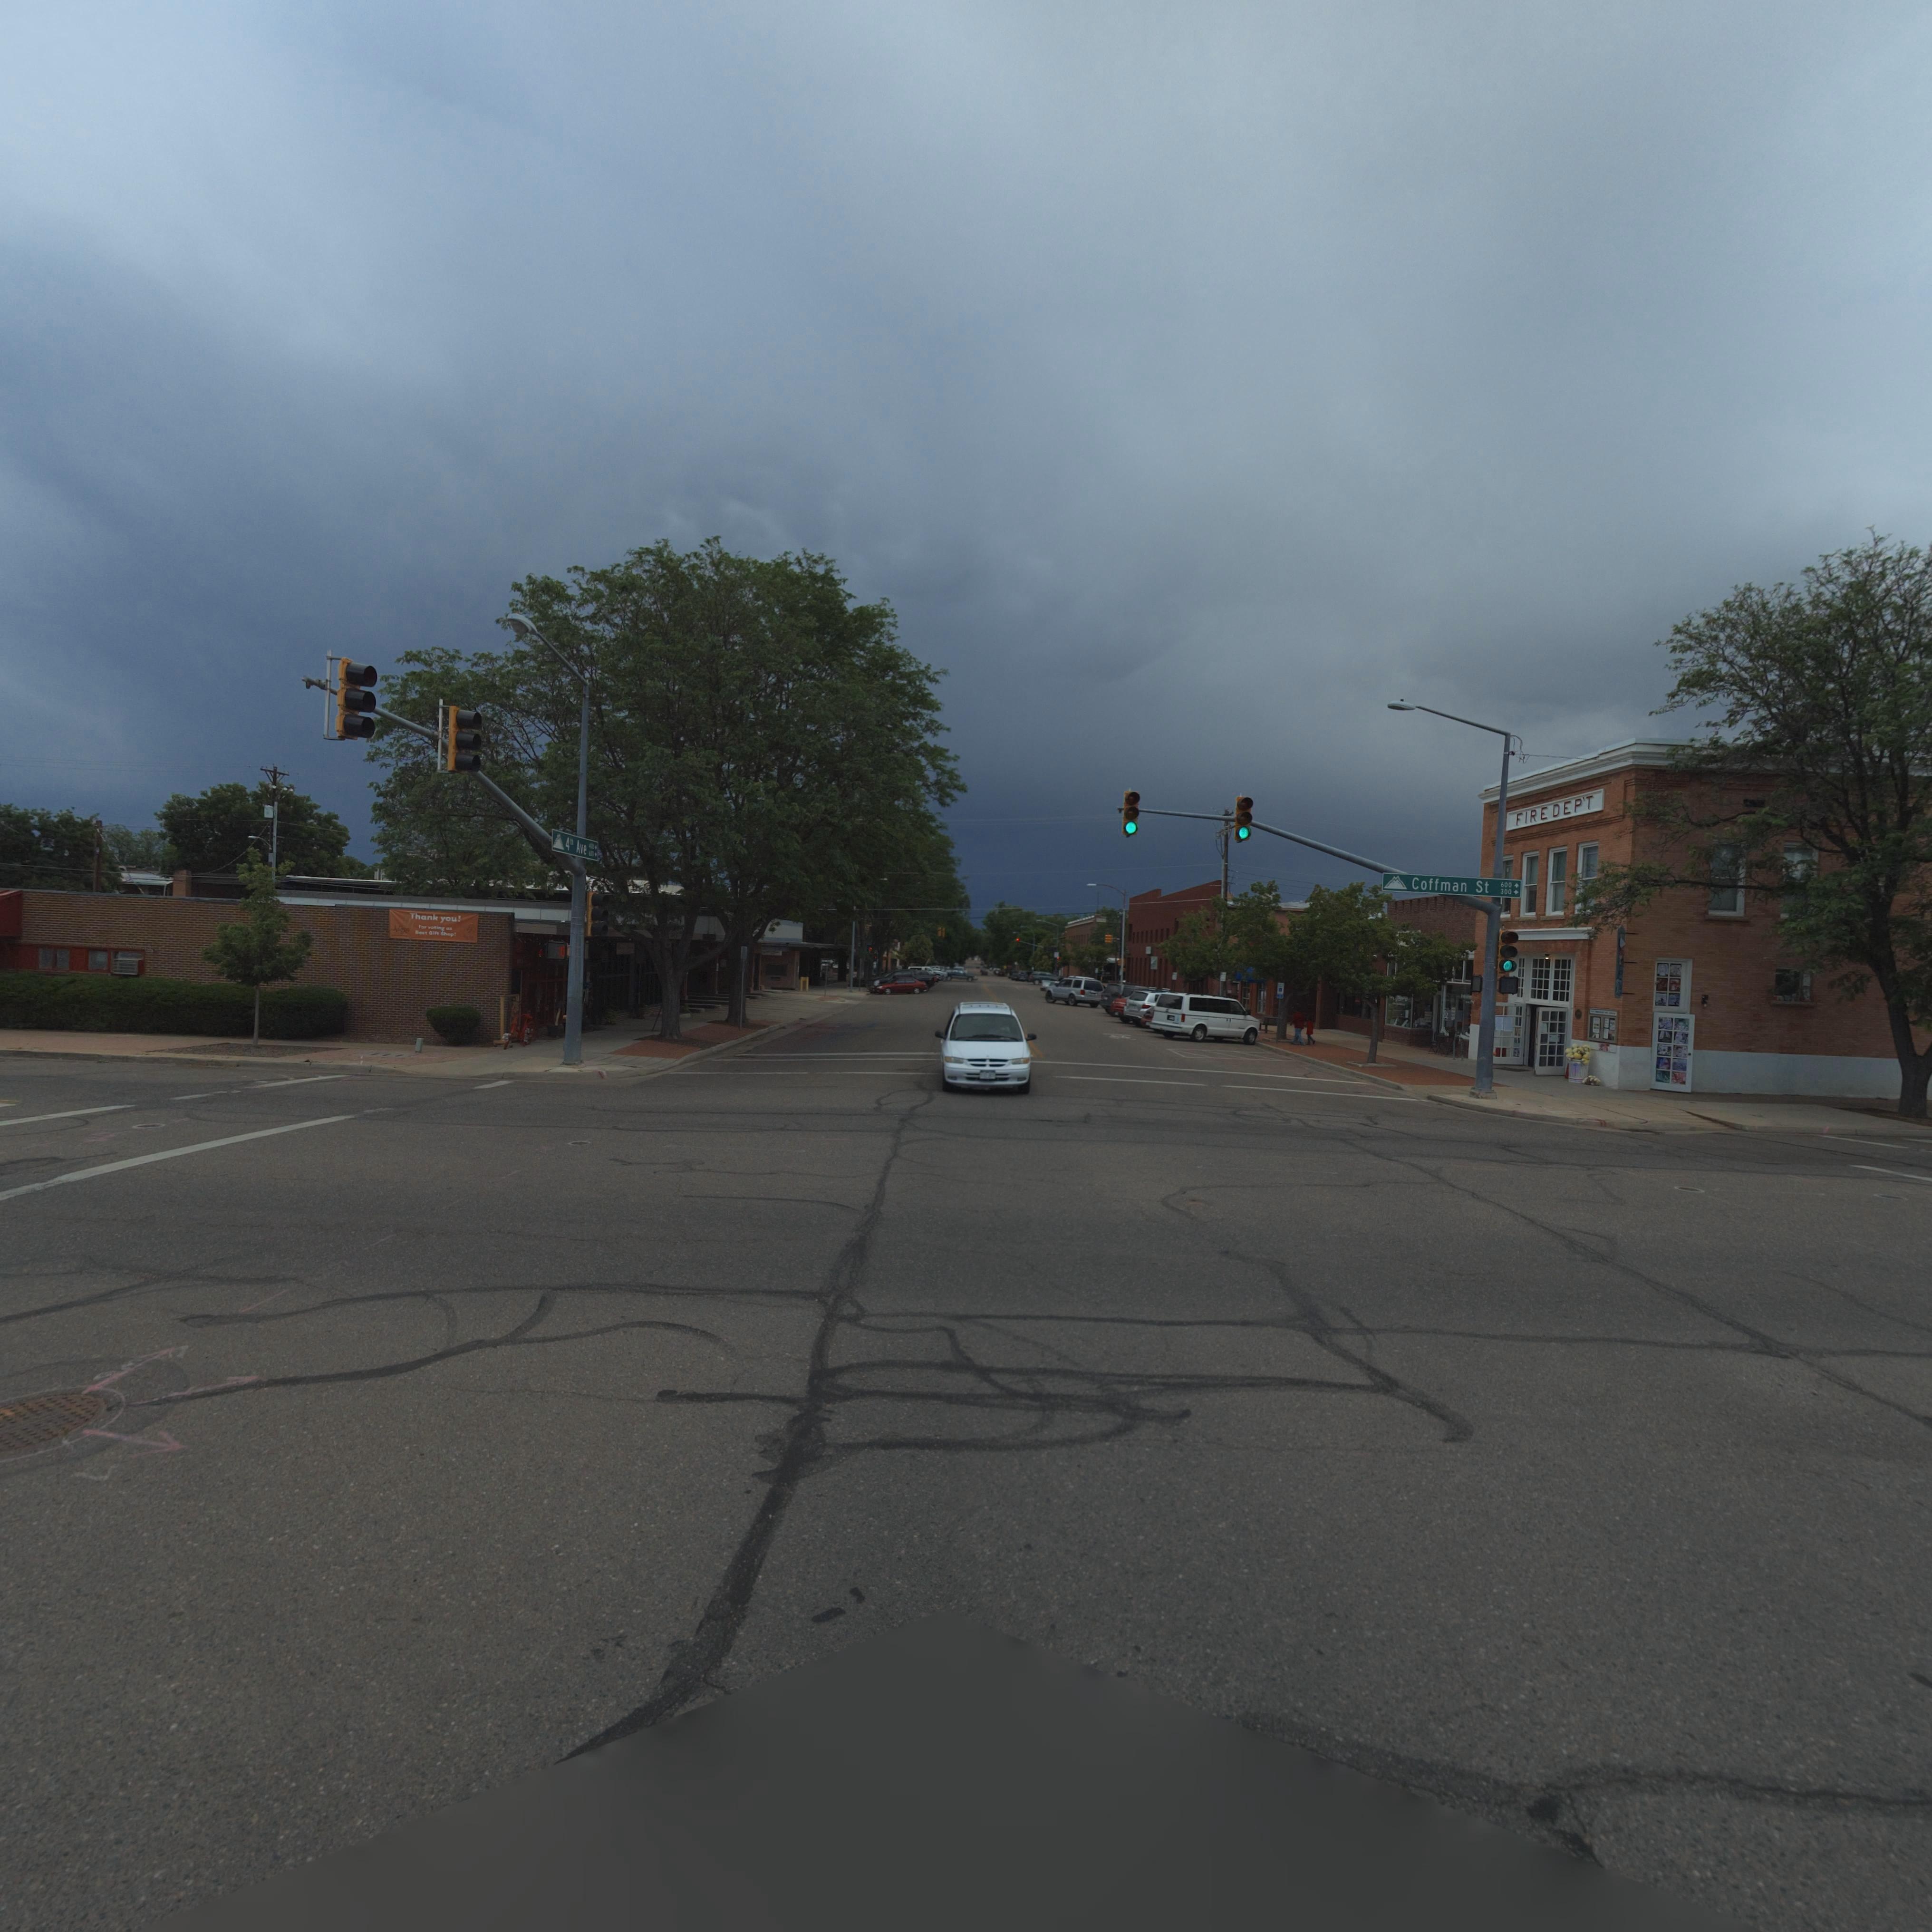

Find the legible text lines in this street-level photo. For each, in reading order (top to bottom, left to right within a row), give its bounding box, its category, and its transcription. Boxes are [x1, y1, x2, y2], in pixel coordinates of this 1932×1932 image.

[565, 837, 587, 855] StreetName: 4th Ave
[589, 843, 594, 850] StreetNumber: 400
[589, 850, 594, 857] StreetNumber: 600
[1412, 877, 1489, 893] StreetName: Coffman st
[1500, 881, 1512, 888] StreetNumber: 600
[1500, 889, 1518, 894] StreetNumberRange: 300 ->
[391, 925, 410, 934] BusinessName: A******
[1443, 1009, 1449, 1018] BusinessName: 8z